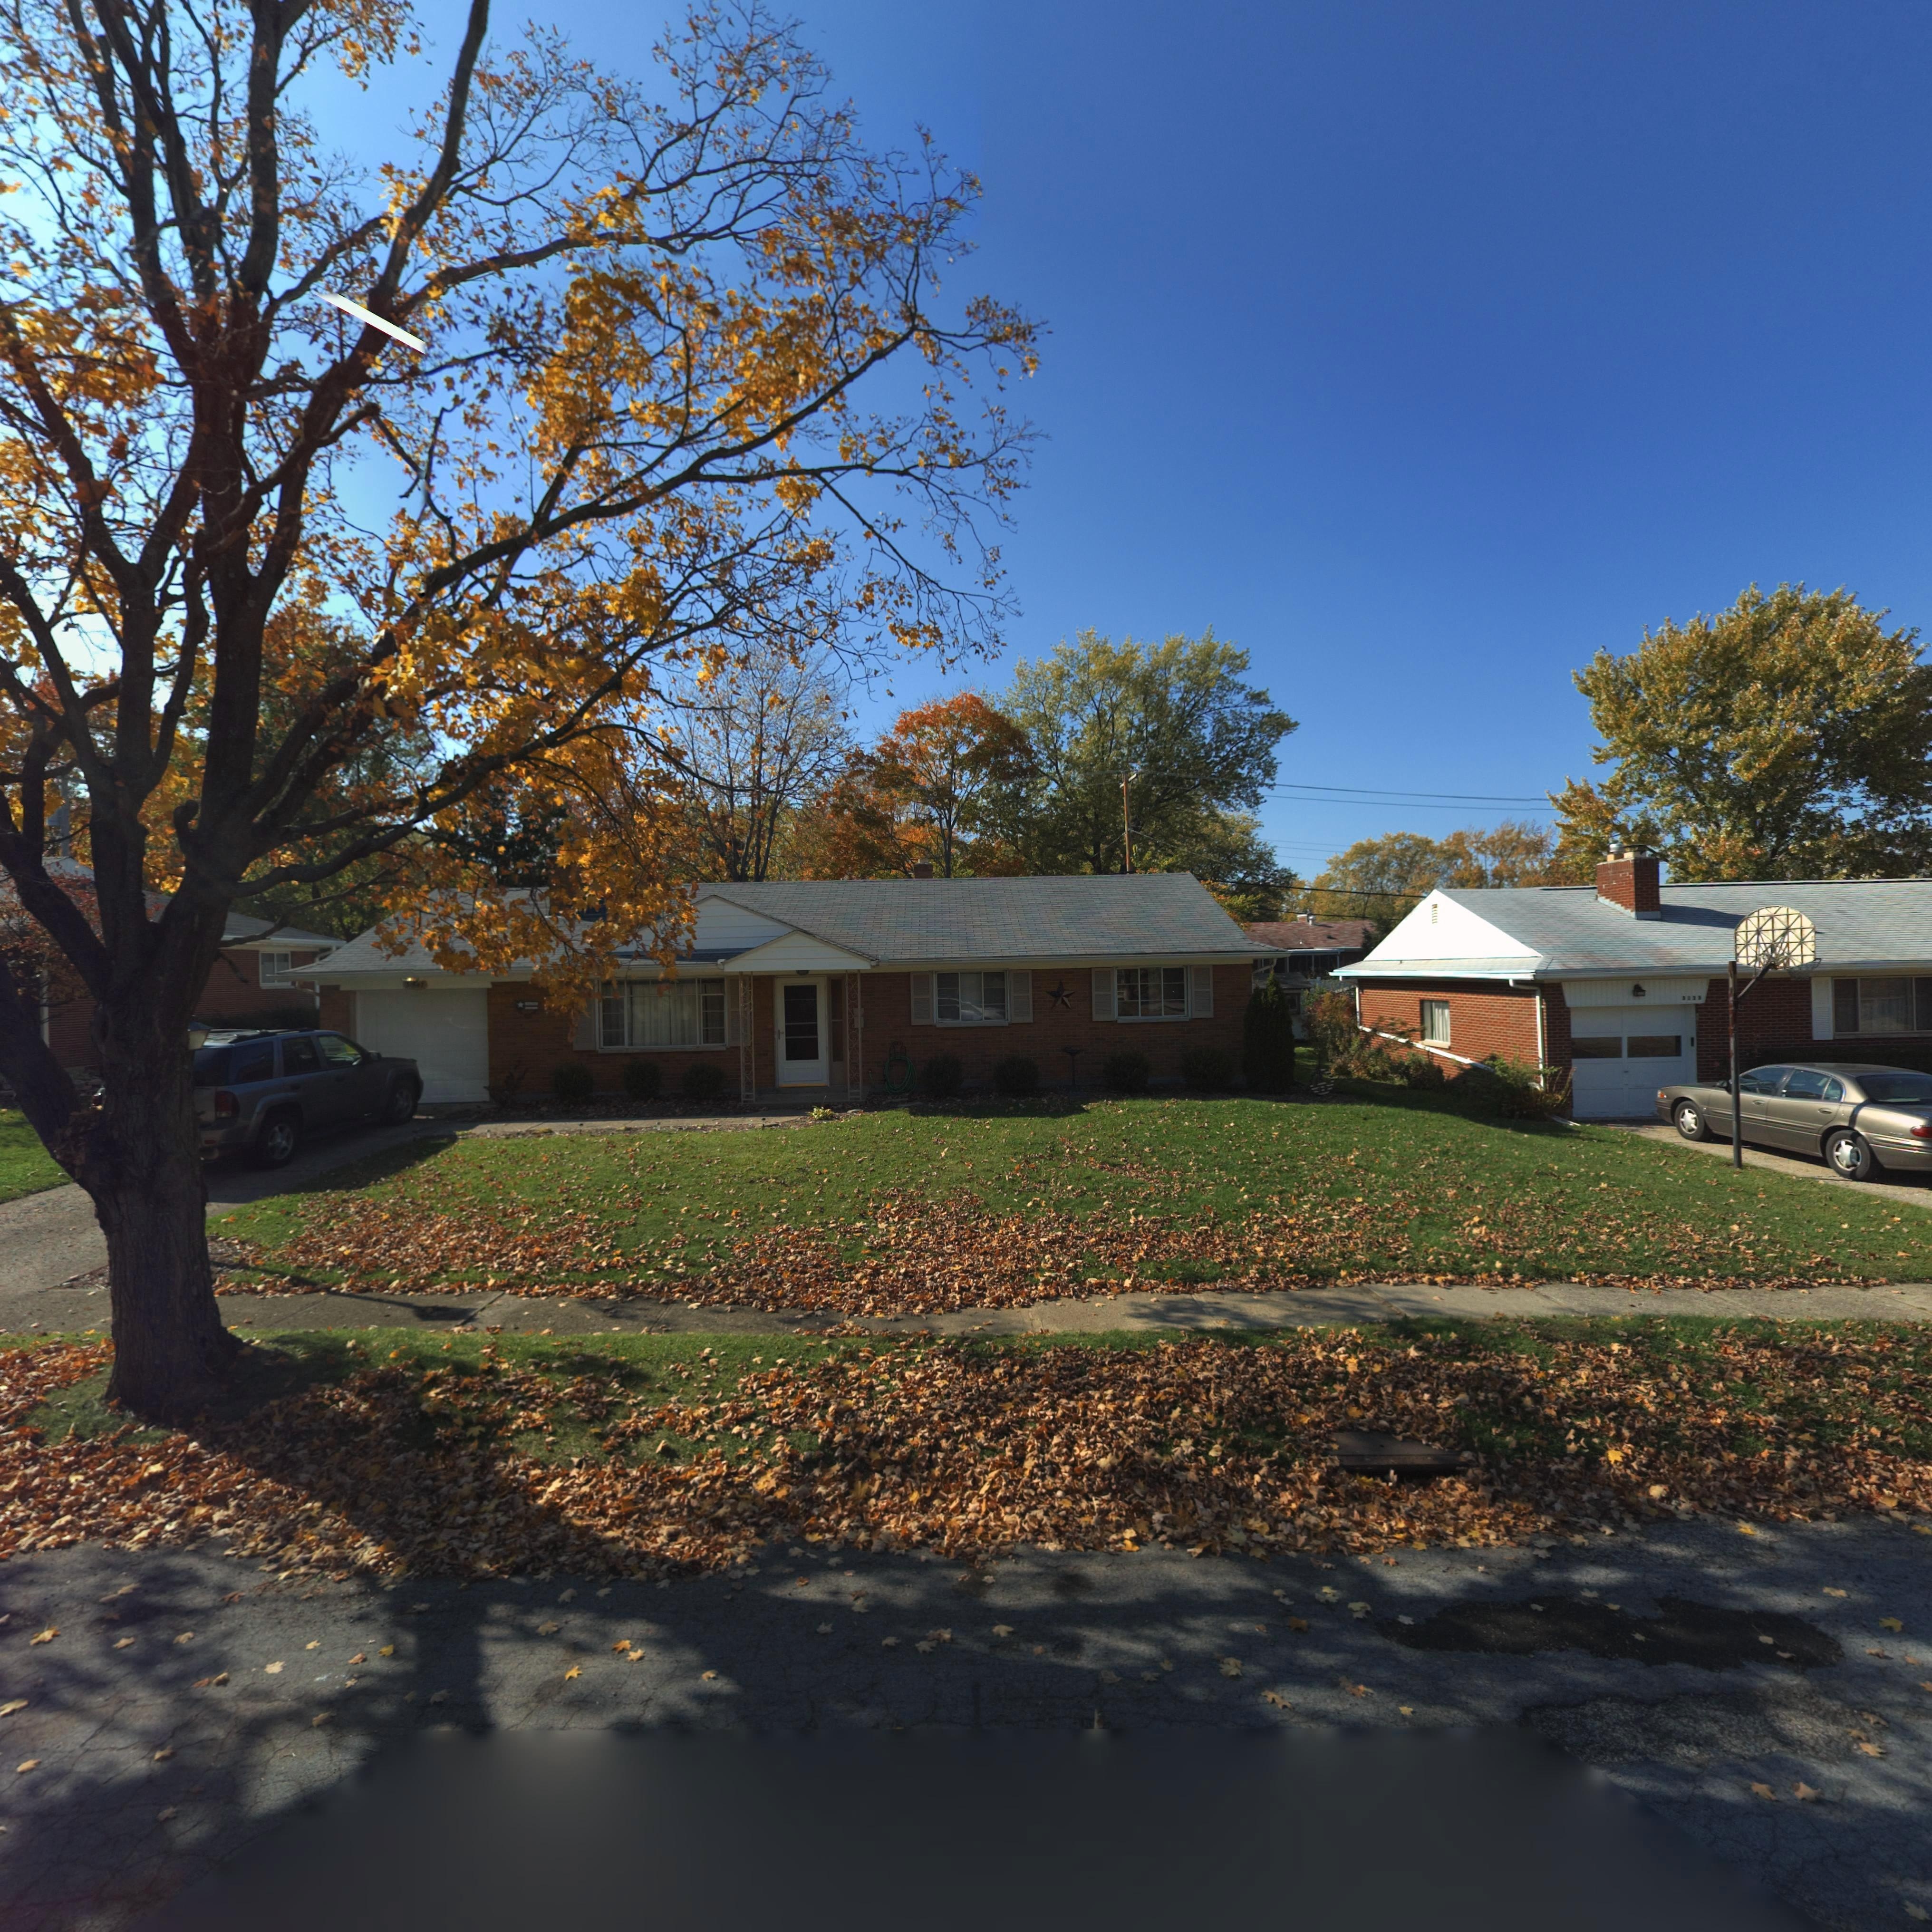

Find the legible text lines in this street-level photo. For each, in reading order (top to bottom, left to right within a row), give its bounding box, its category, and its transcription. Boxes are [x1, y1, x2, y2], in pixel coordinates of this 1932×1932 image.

[404, 981, 425, 989] StreetNumber: **47